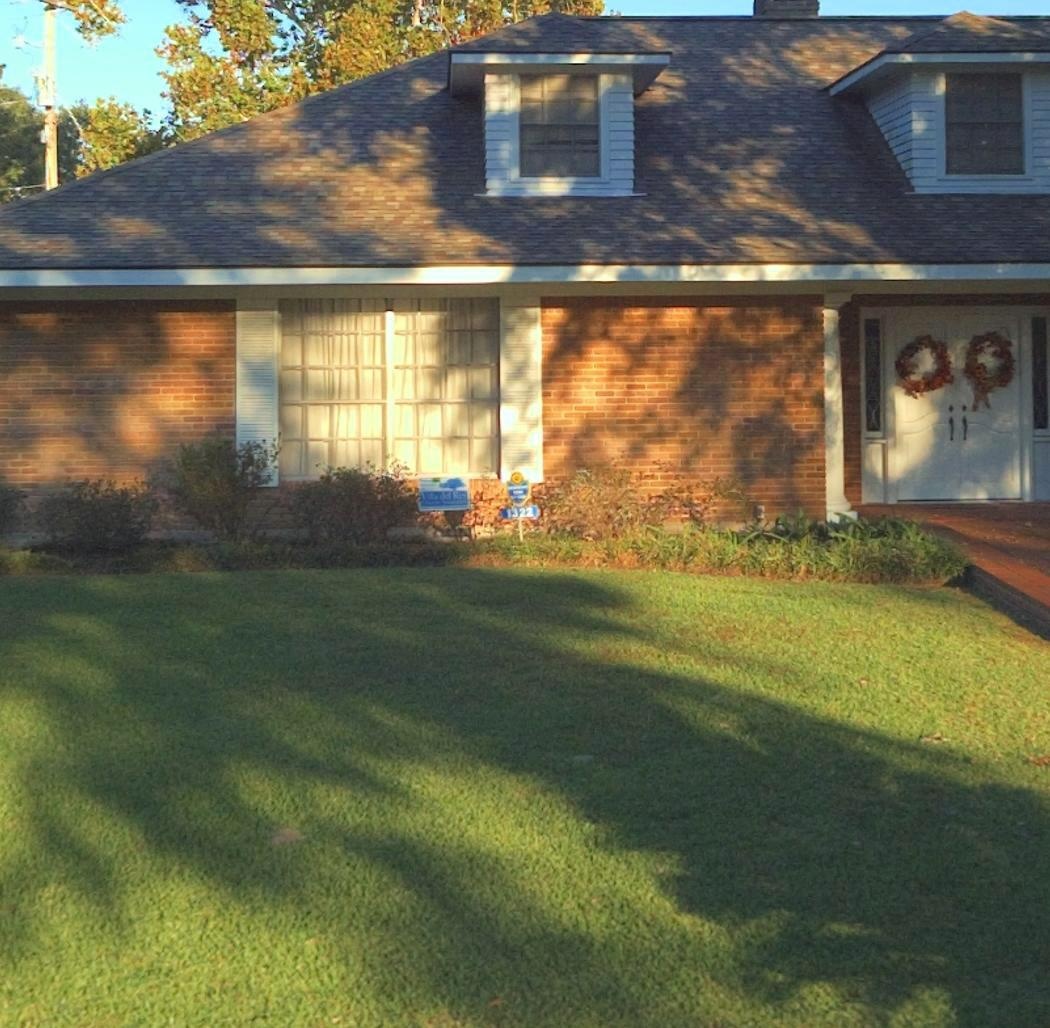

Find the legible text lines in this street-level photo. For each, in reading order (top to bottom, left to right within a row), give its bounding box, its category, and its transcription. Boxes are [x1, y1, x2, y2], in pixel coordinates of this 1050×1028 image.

[506, 507, 535, 518] StreetNumber: 1322